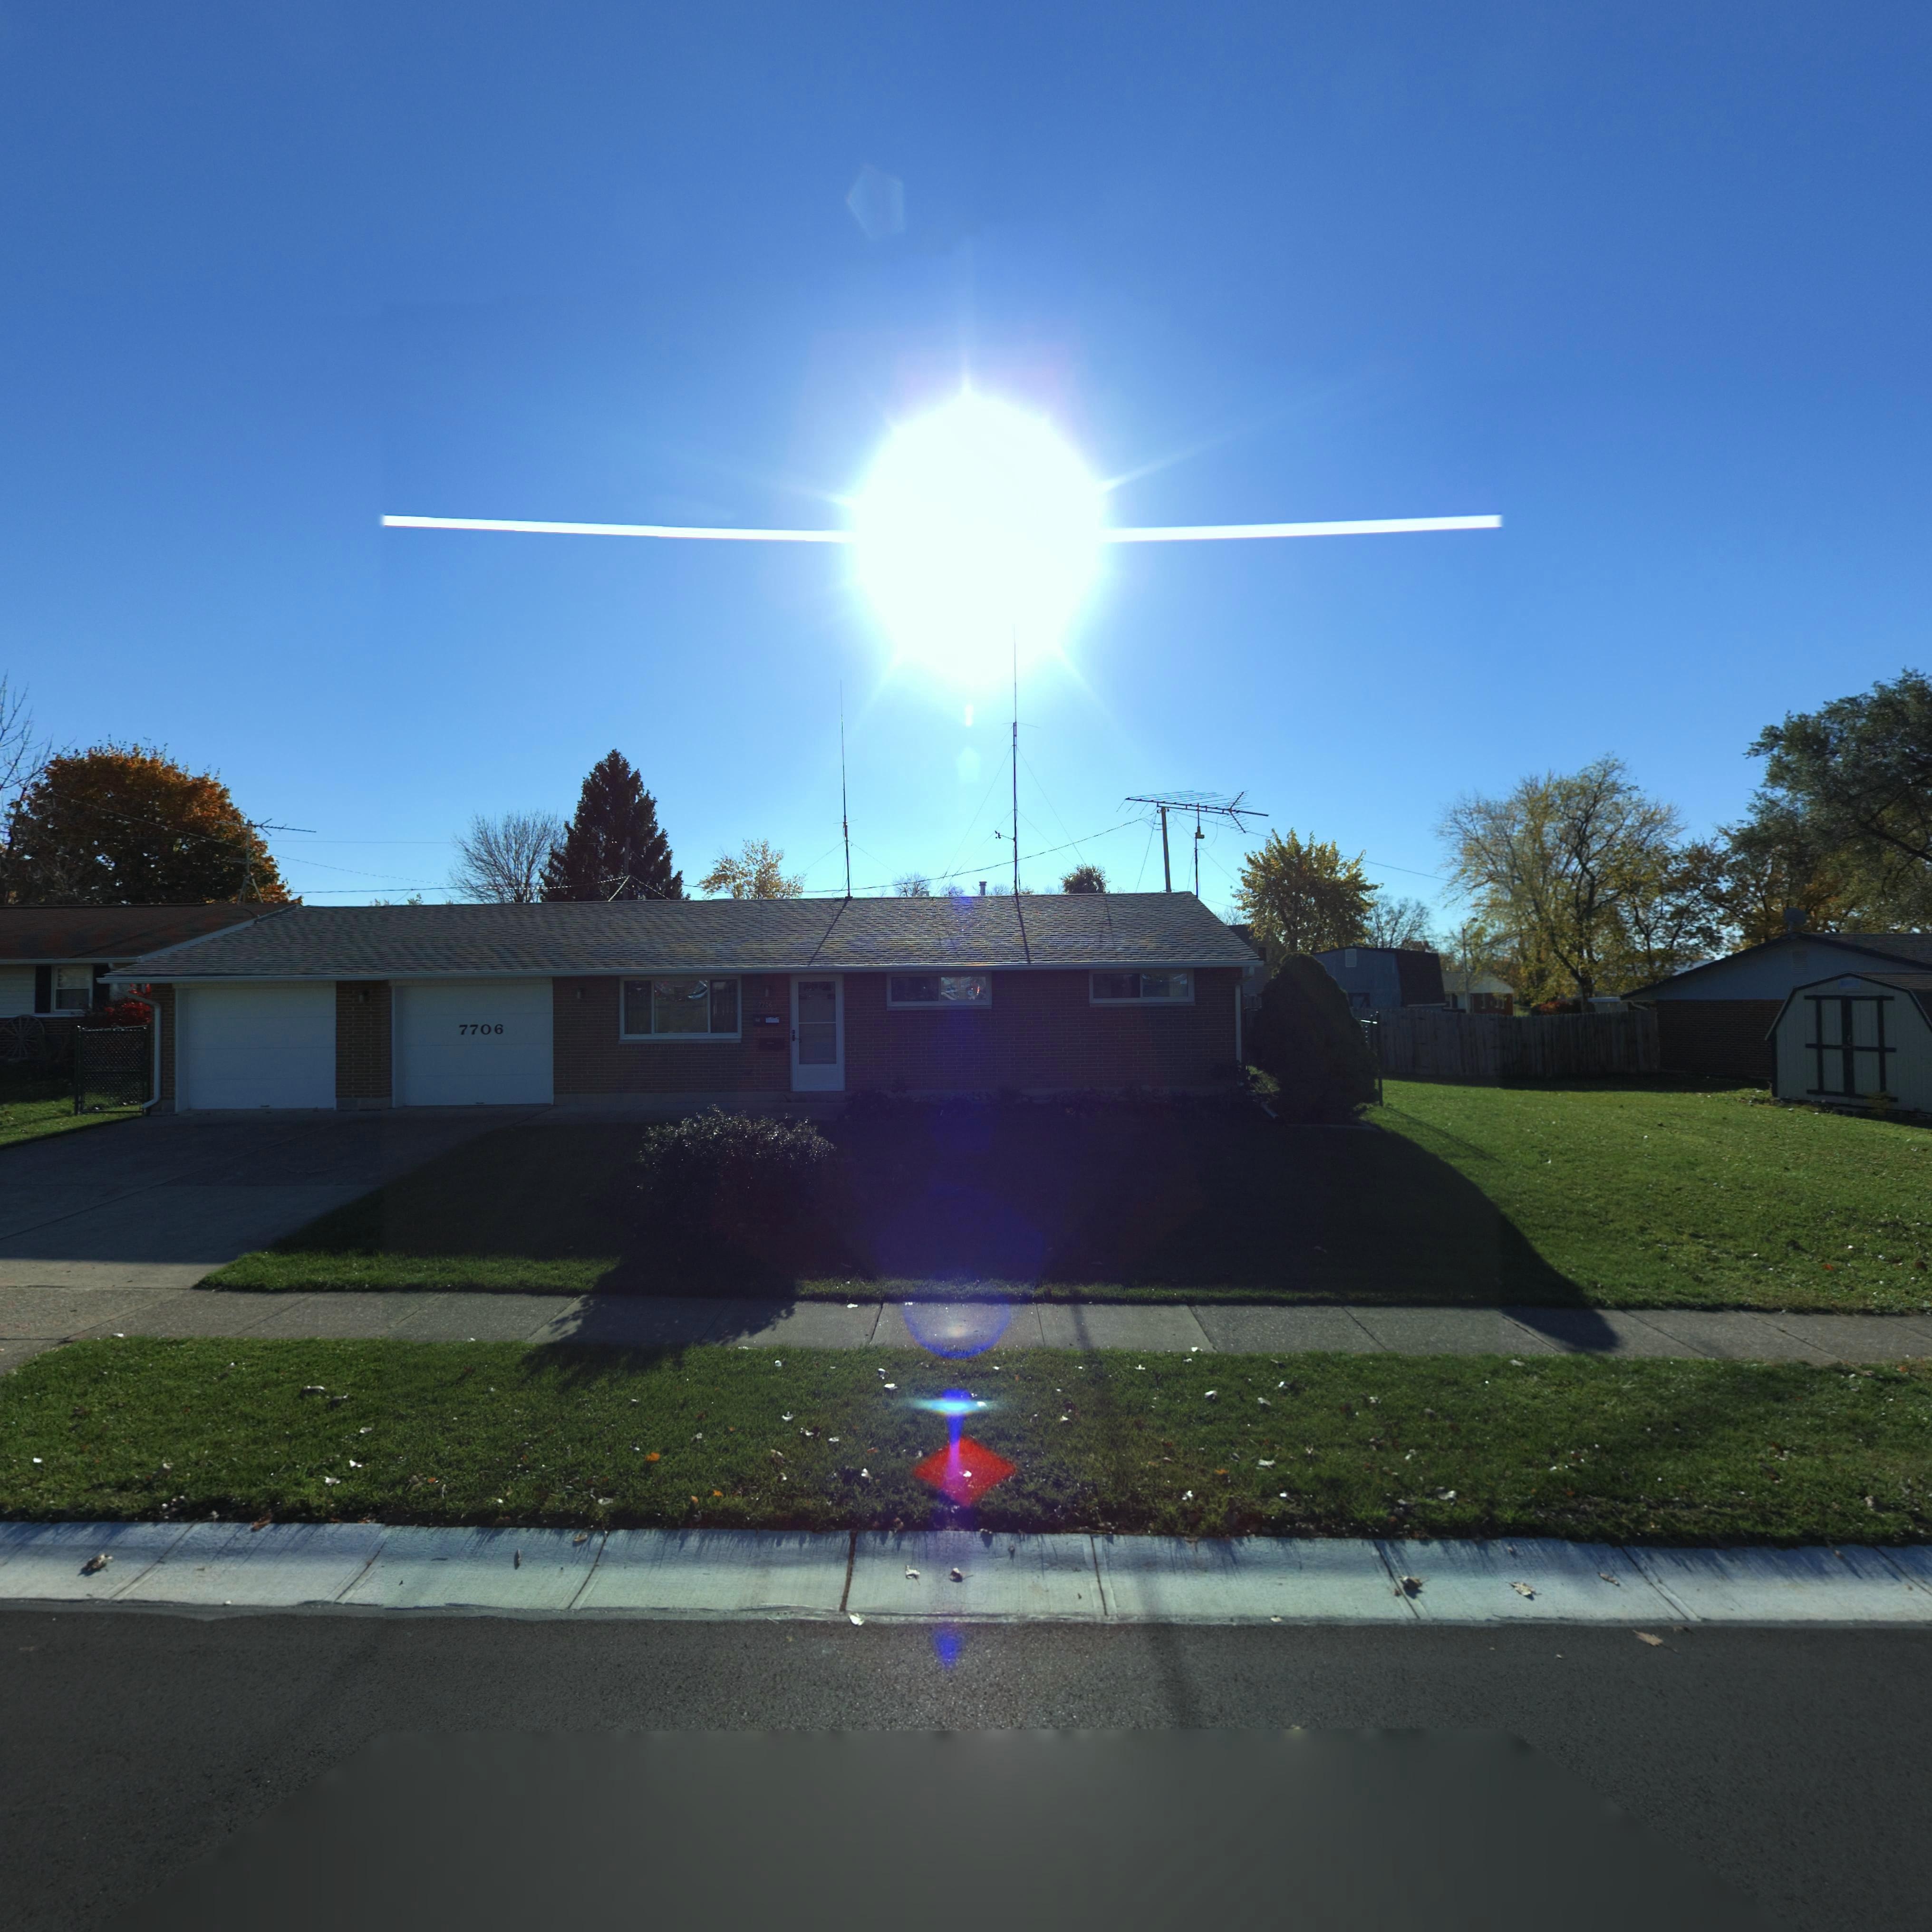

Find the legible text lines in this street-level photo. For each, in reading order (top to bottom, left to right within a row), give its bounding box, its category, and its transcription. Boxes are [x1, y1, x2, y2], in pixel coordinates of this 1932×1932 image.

[756, 1001, 773, 1009] StreetNumber: 7706
[458, 1023, 505, 1036] StreetNumber: 7706